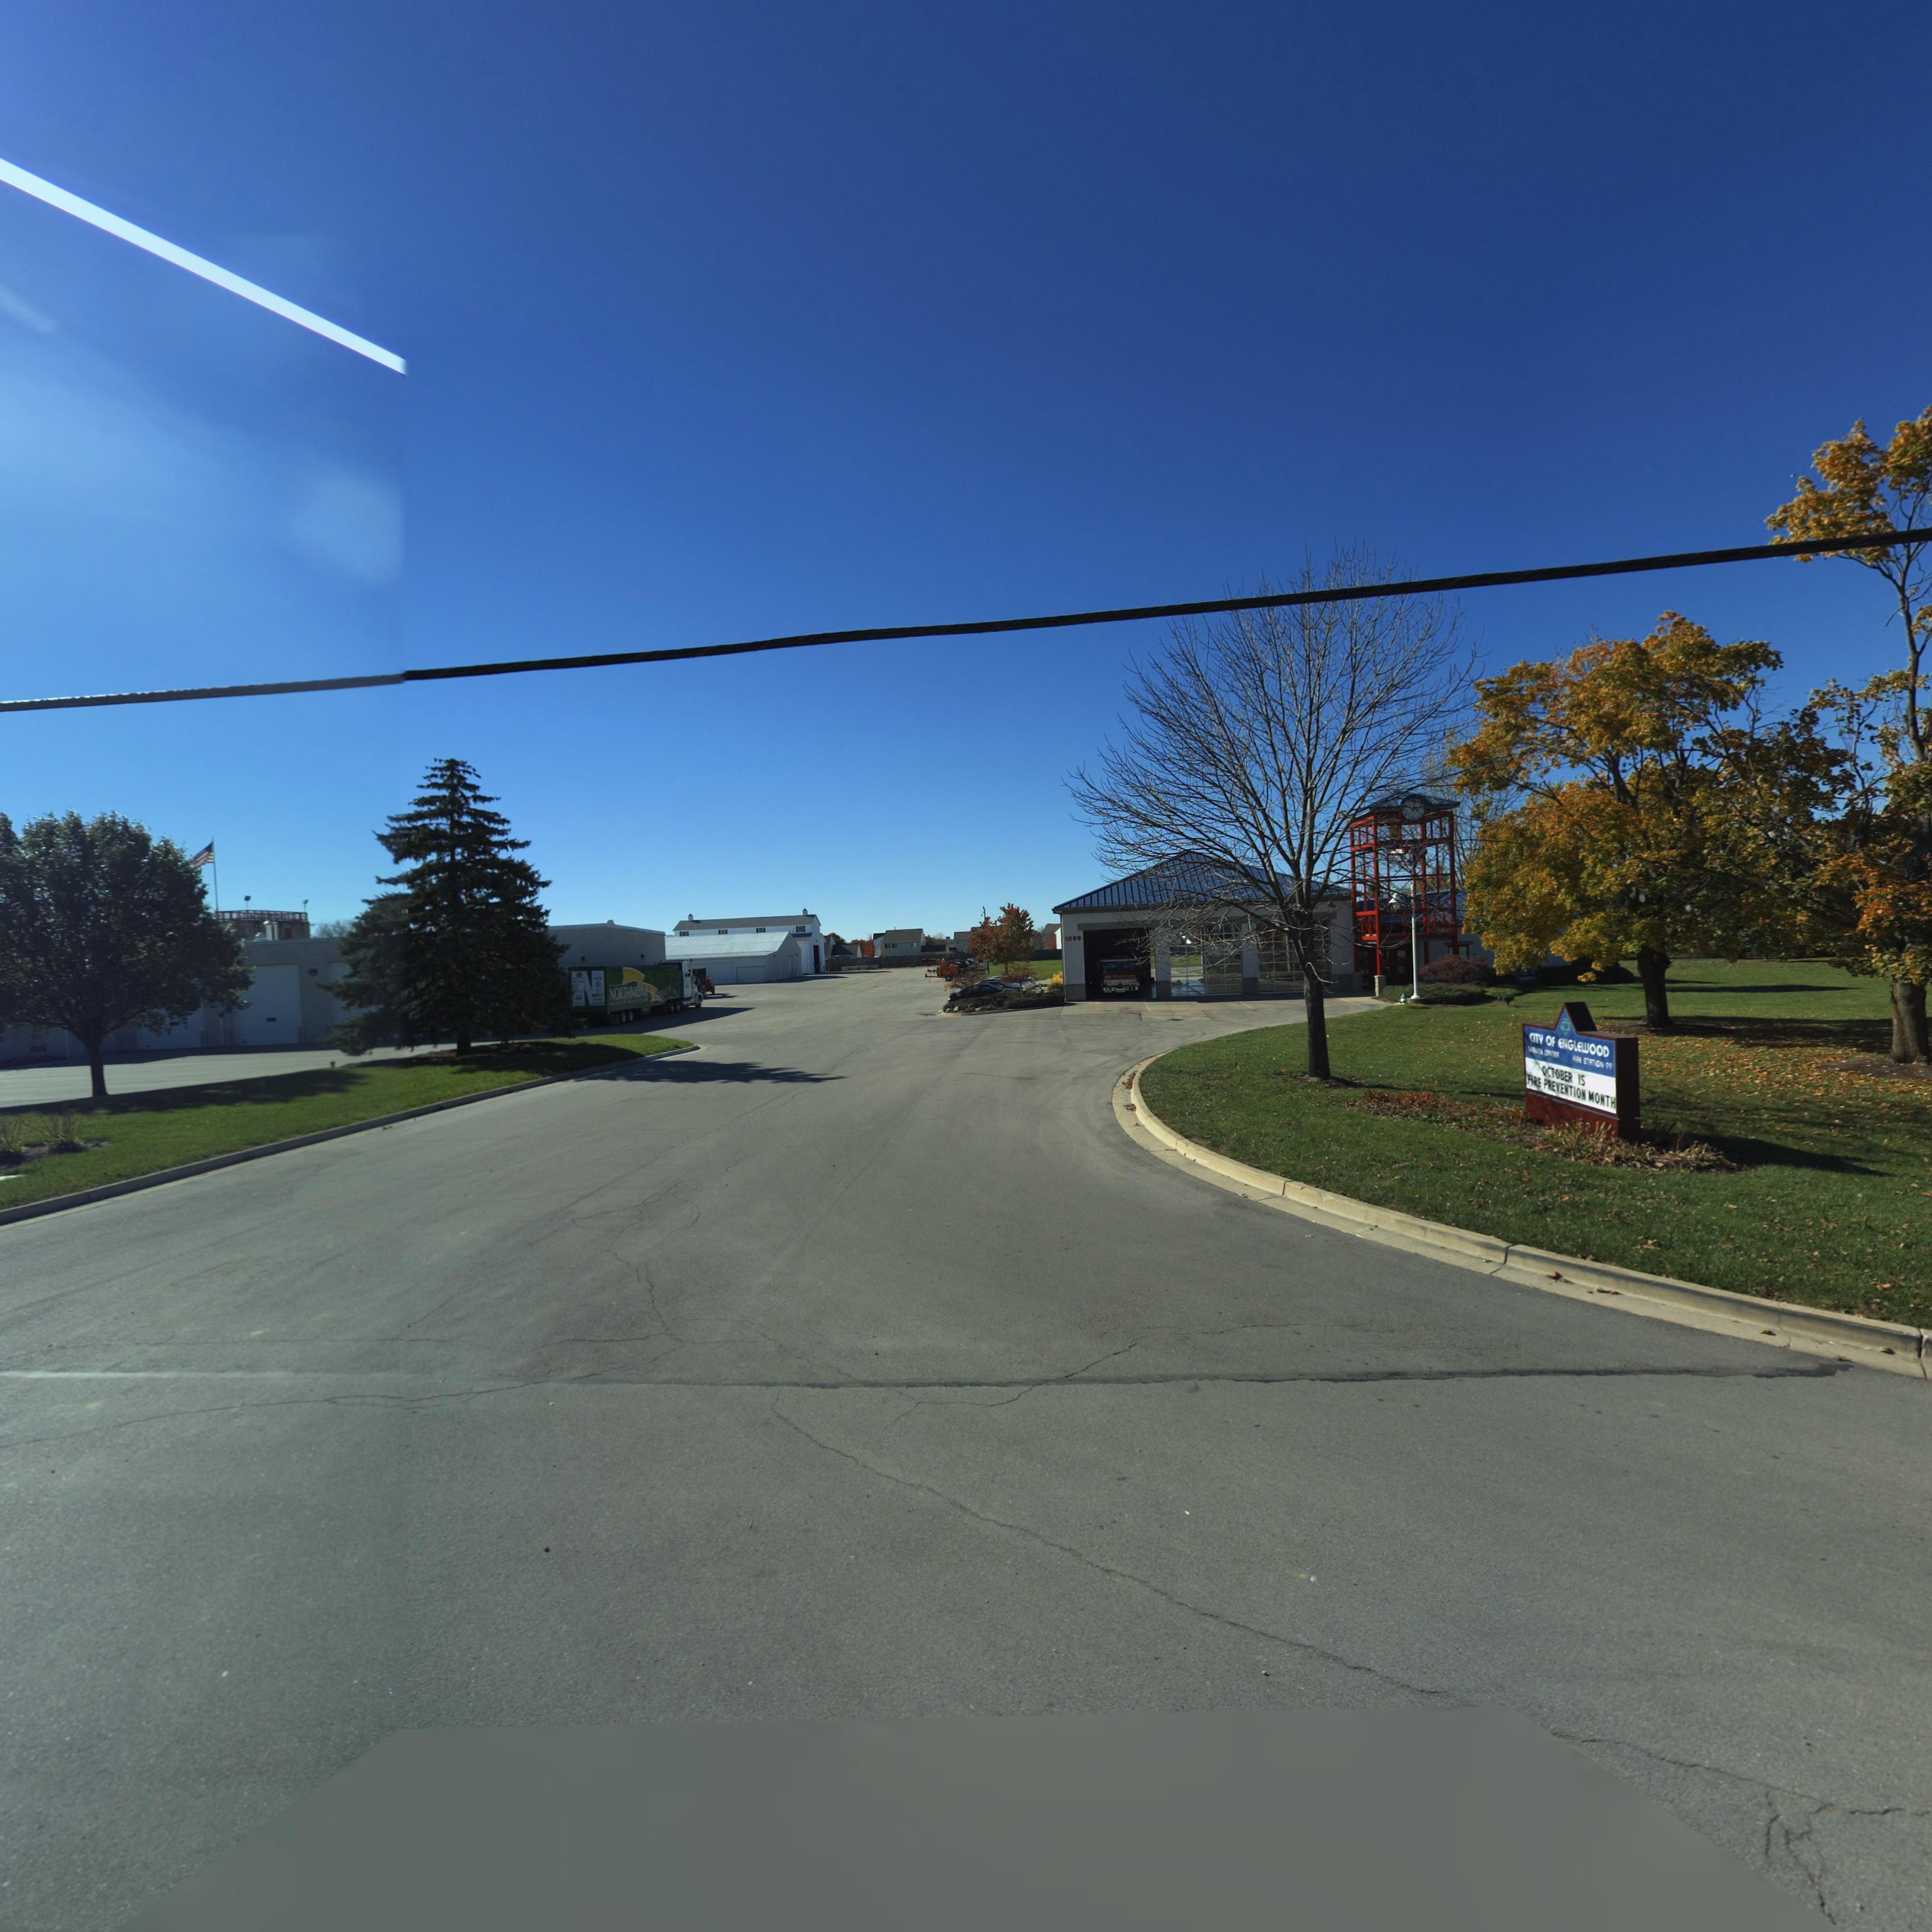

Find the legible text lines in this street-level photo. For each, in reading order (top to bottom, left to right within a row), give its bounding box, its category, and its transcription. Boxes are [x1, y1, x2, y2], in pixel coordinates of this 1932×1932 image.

[1064, 935, 1082, 942] StreetNumber: 1099